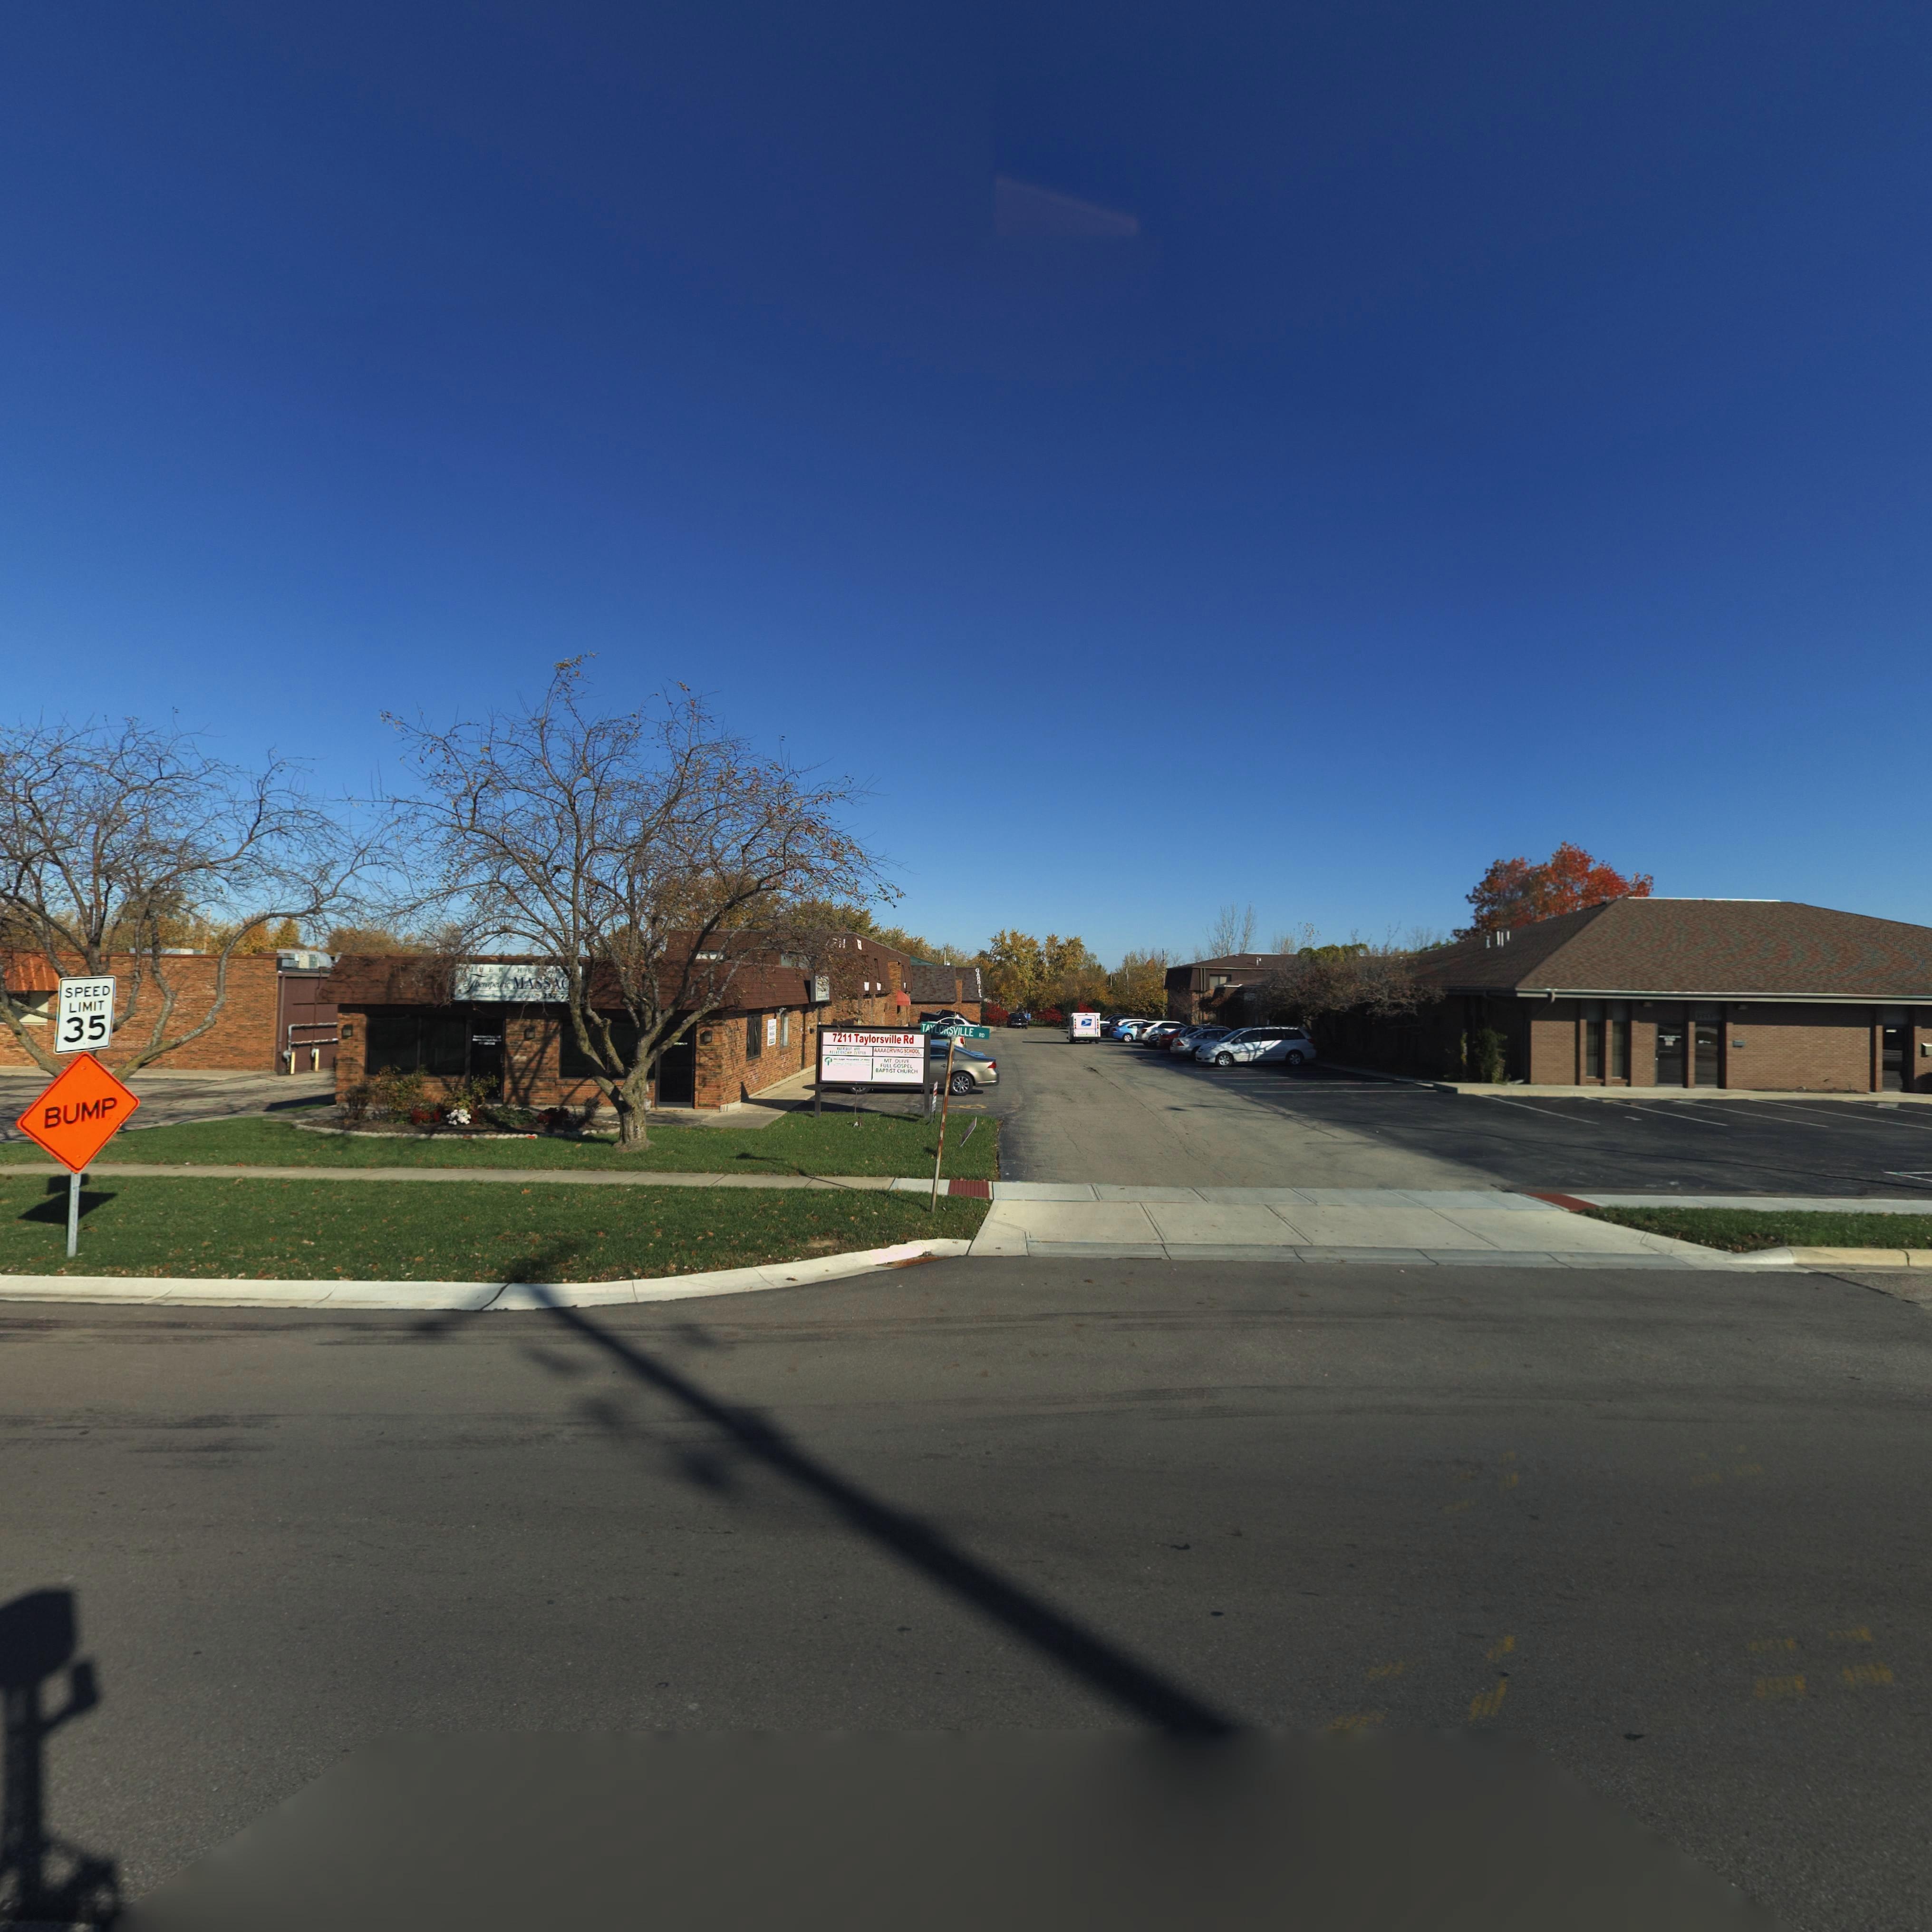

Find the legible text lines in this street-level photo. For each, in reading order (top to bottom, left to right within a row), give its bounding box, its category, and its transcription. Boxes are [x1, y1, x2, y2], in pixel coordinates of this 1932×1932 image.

[456, 972, 562, 996] BusinessName: Therapeutic MASSA
[921, 1023, 985, 1039] StreetName: TAYLORSVILLE RD
[831, 1032, 852, 1044] StreetNumber: 7211
[854, 1033, 915, 1046] StreetName: Taylorsville Rd
[873, 1047, 921, 1054] BusinessName: AAAA DRIVING SCHOOL
[879, 1063, 913, 1069] BusinessName: FULL GOSPEL
[883, 1058, 910, 1063] BusinessName: MT OLIVE
[875, 1068, 918, 1074] BusinessName: BAPTIST CHURCH
[43, 1095, 119, 1130] None: BUMP